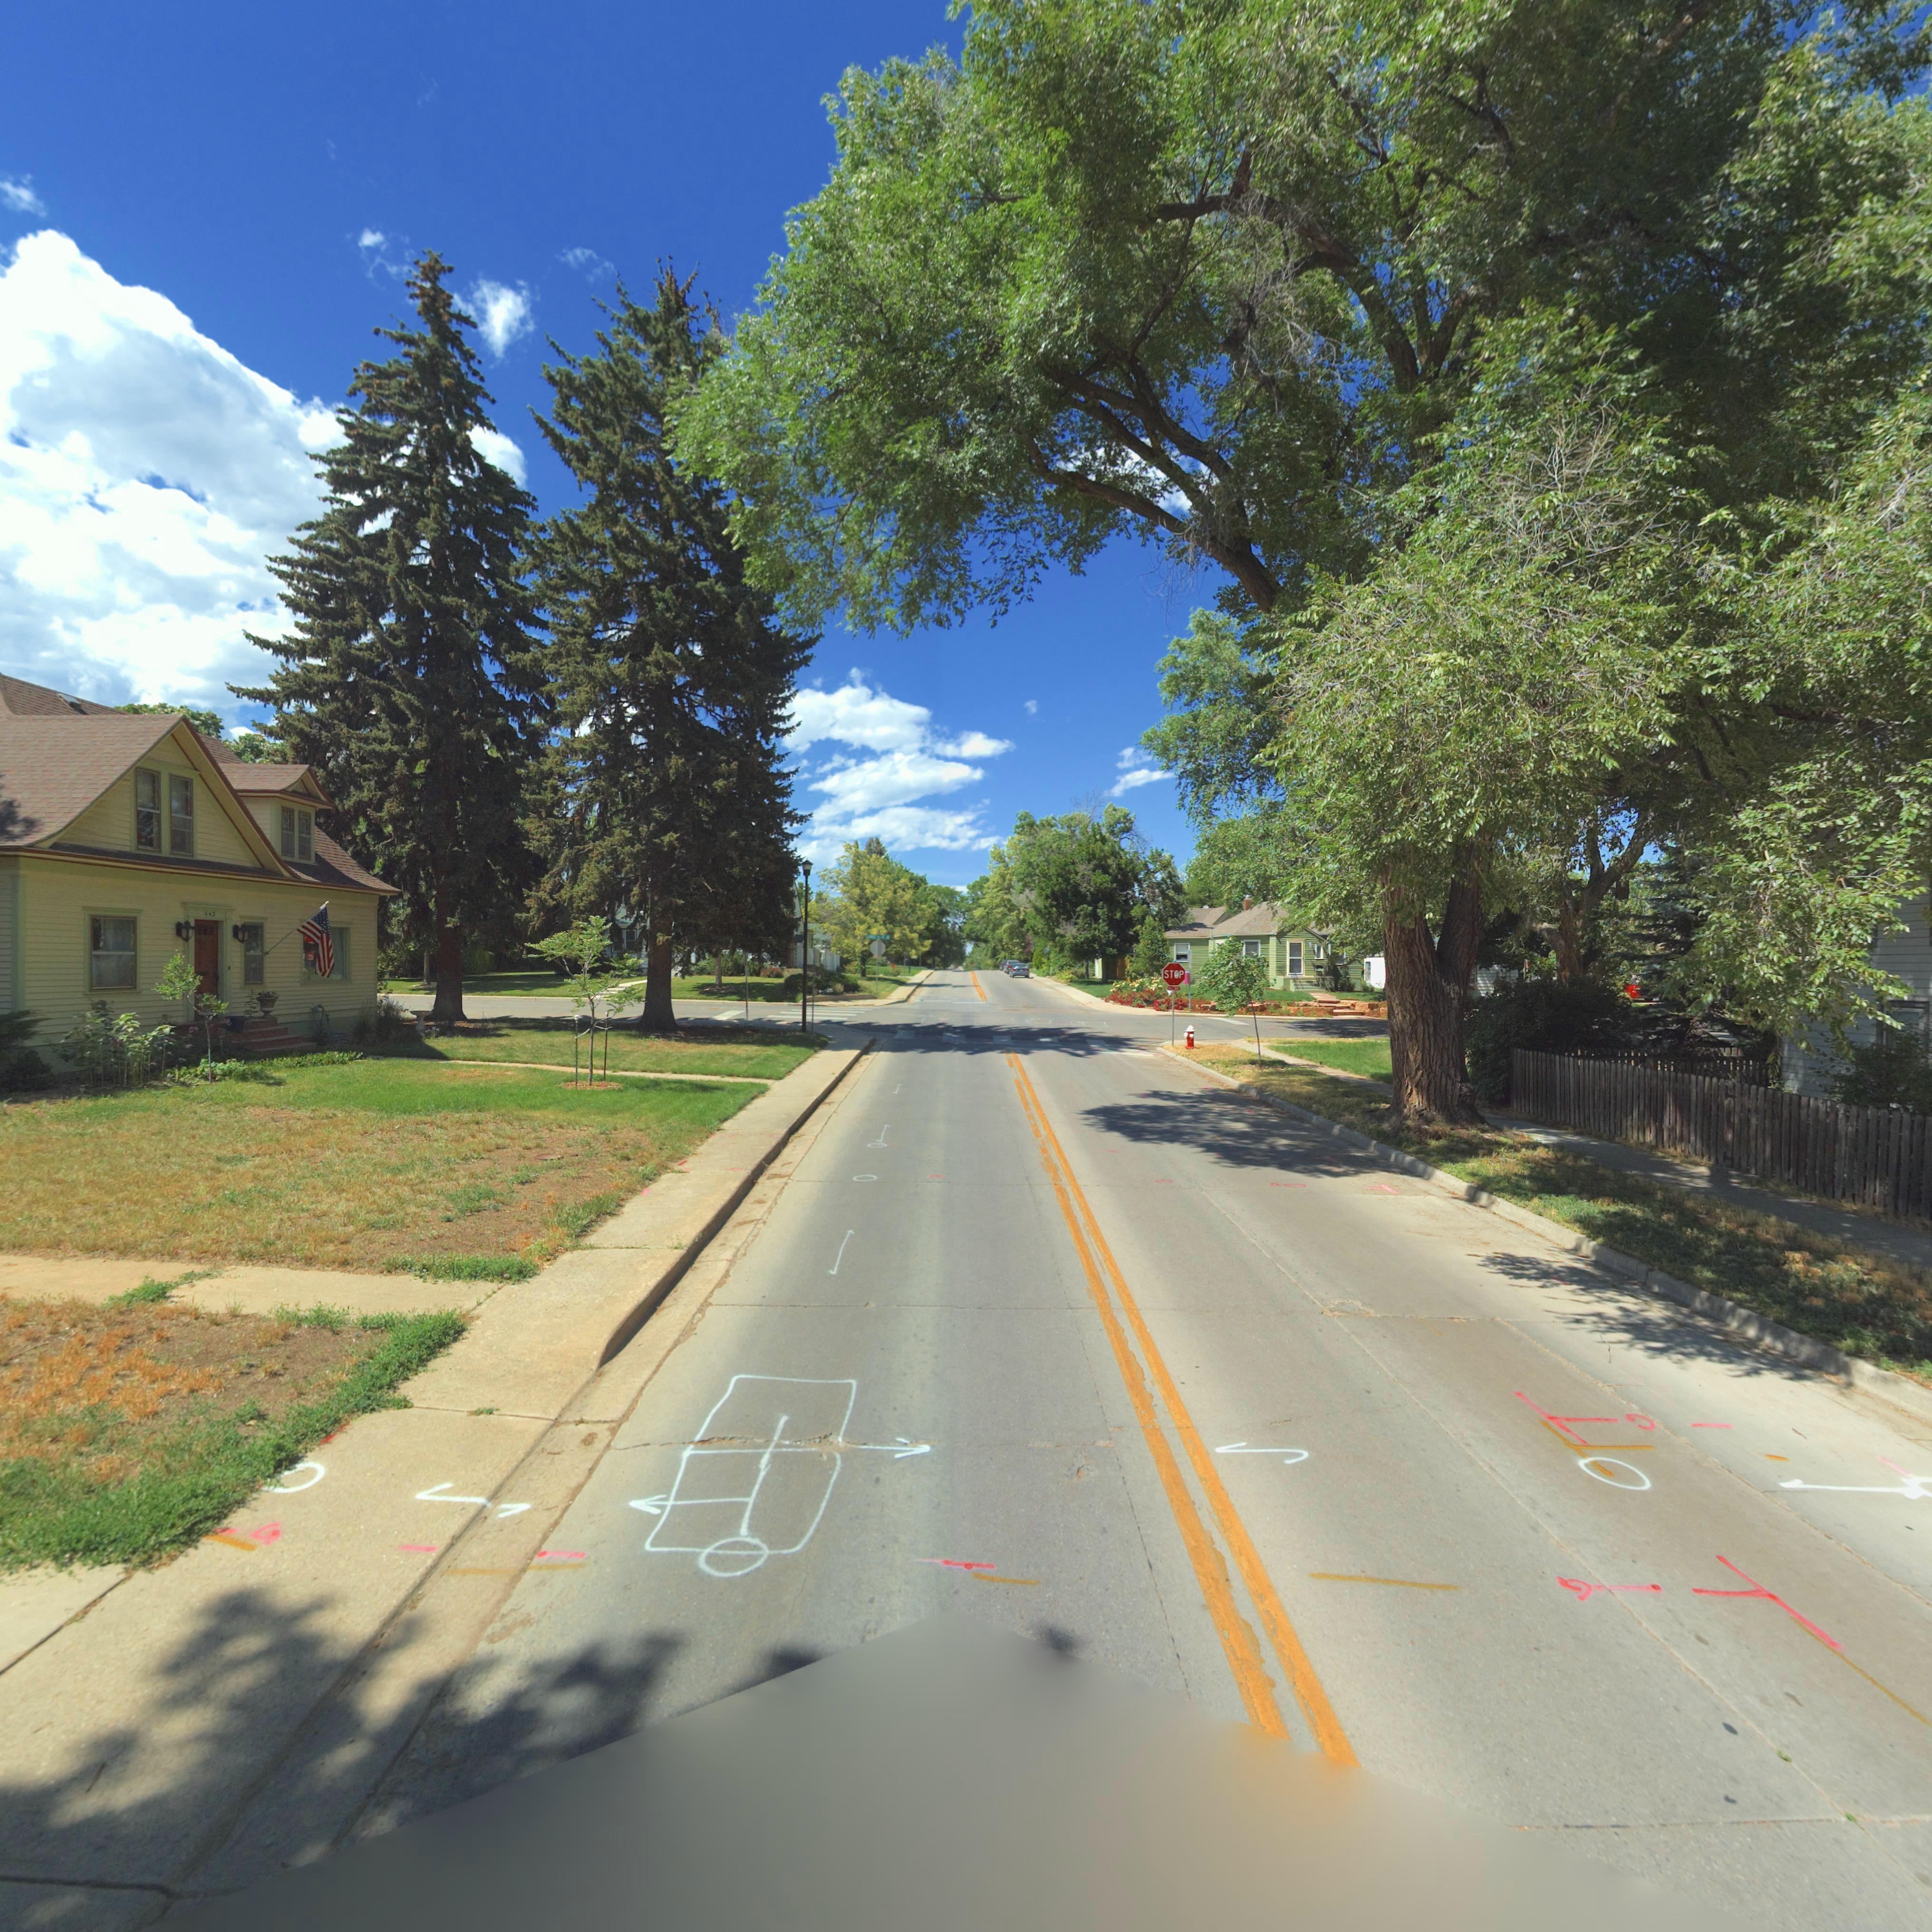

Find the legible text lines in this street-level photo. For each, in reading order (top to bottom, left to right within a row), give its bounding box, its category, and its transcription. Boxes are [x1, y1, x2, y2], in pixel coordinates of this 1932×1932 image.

[205, 910, 215, 917] StreetNumber: 443